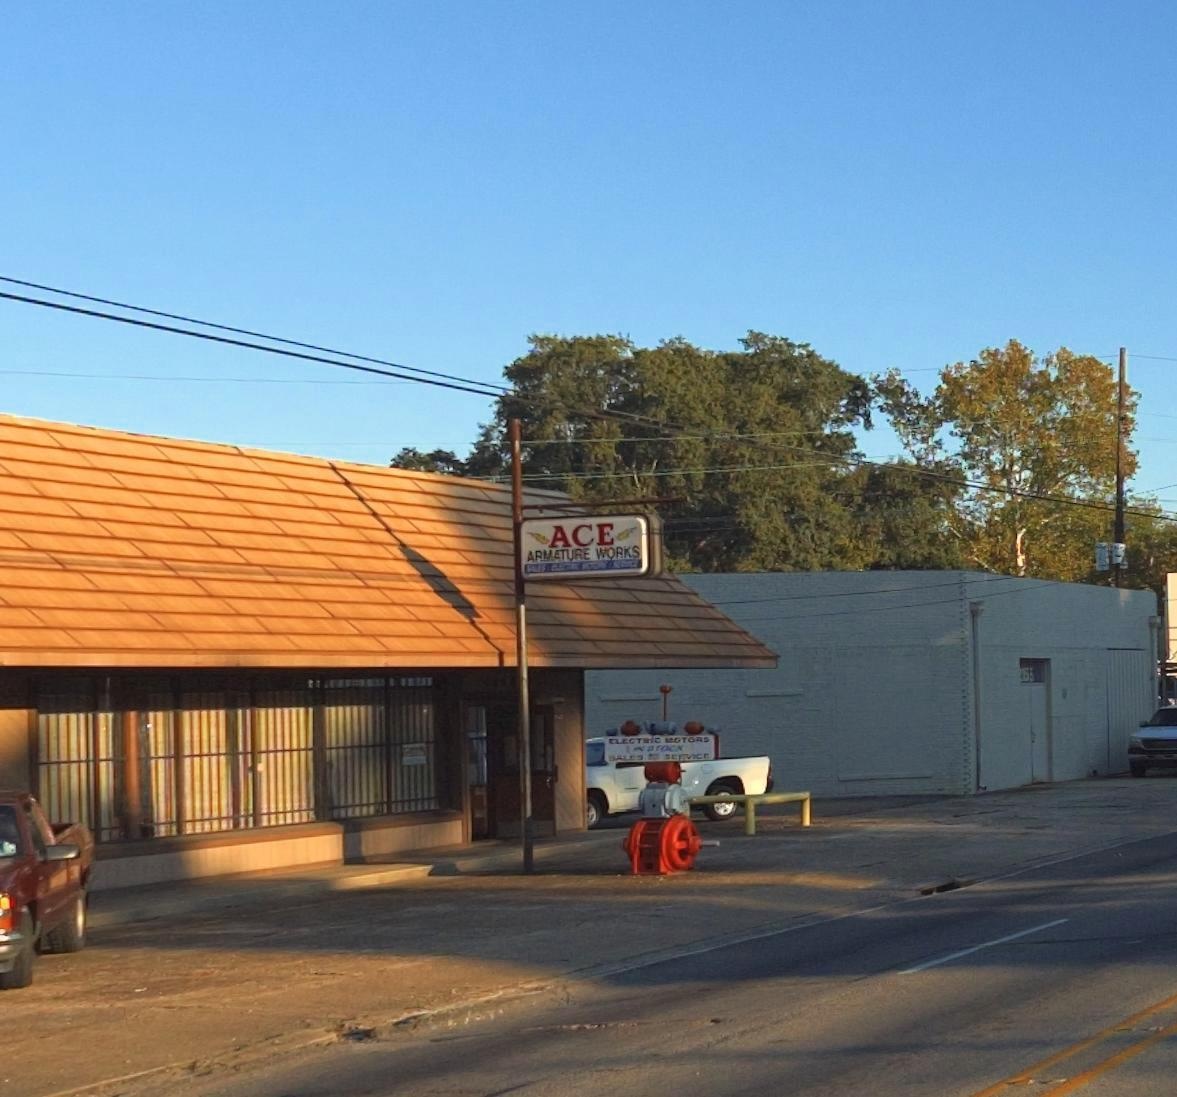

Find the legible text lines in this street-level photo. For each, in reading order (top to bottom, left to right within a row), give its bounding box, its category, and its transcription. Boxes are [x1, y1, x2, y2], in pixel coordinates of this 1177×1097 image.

[546, 521, 617, 550] BusinessName: ACE
[524, 543, 643, 564] BusinessName: ARMETURE WORKS
[606, 735, 713, 746] None: ELECTRIC MOTORS